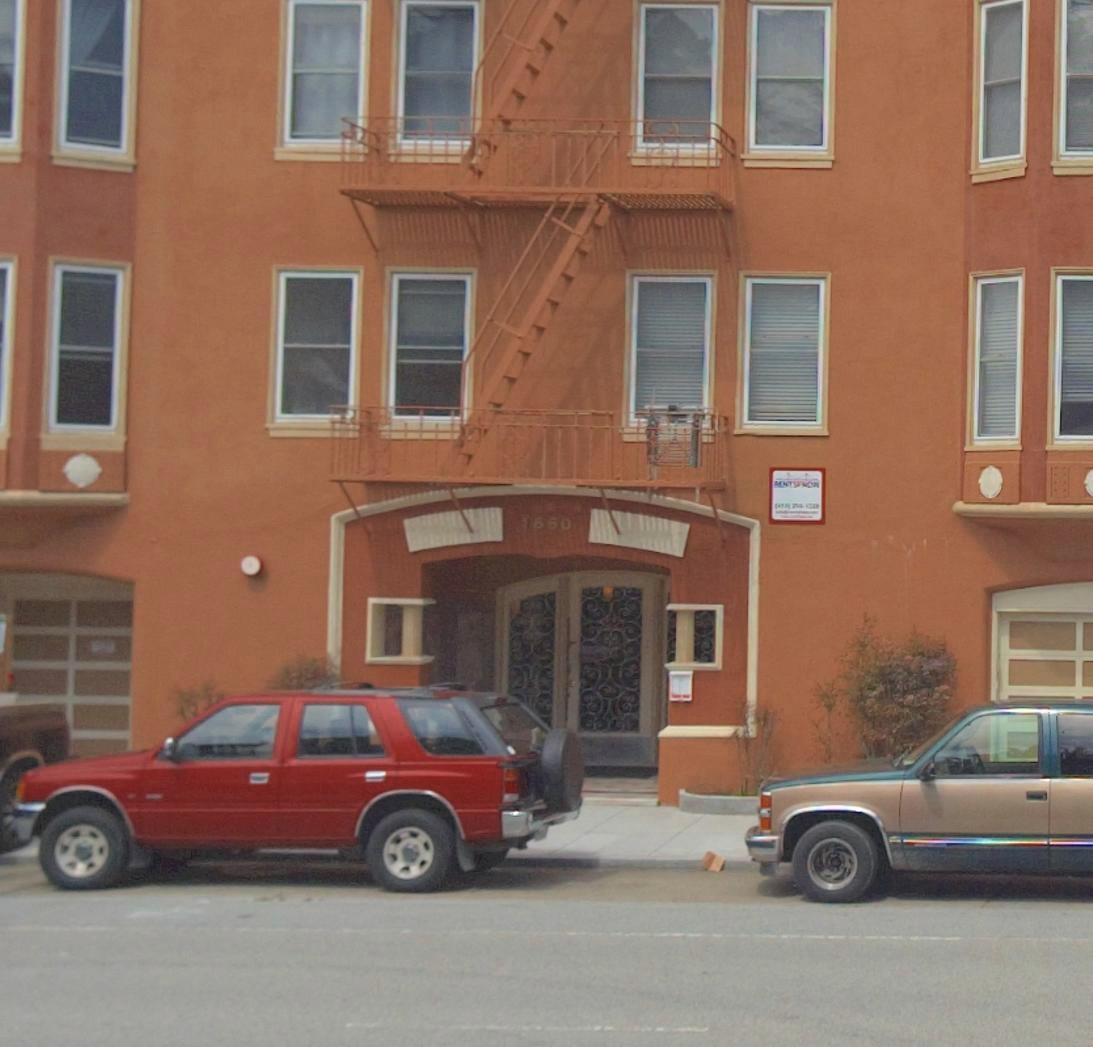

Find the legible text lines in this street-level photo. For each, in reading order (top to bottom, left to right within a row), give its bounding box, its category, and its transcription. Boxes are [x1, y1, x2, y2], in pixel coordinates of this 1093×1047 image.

[520, 516, 573, 533] StreetNumber: 1660